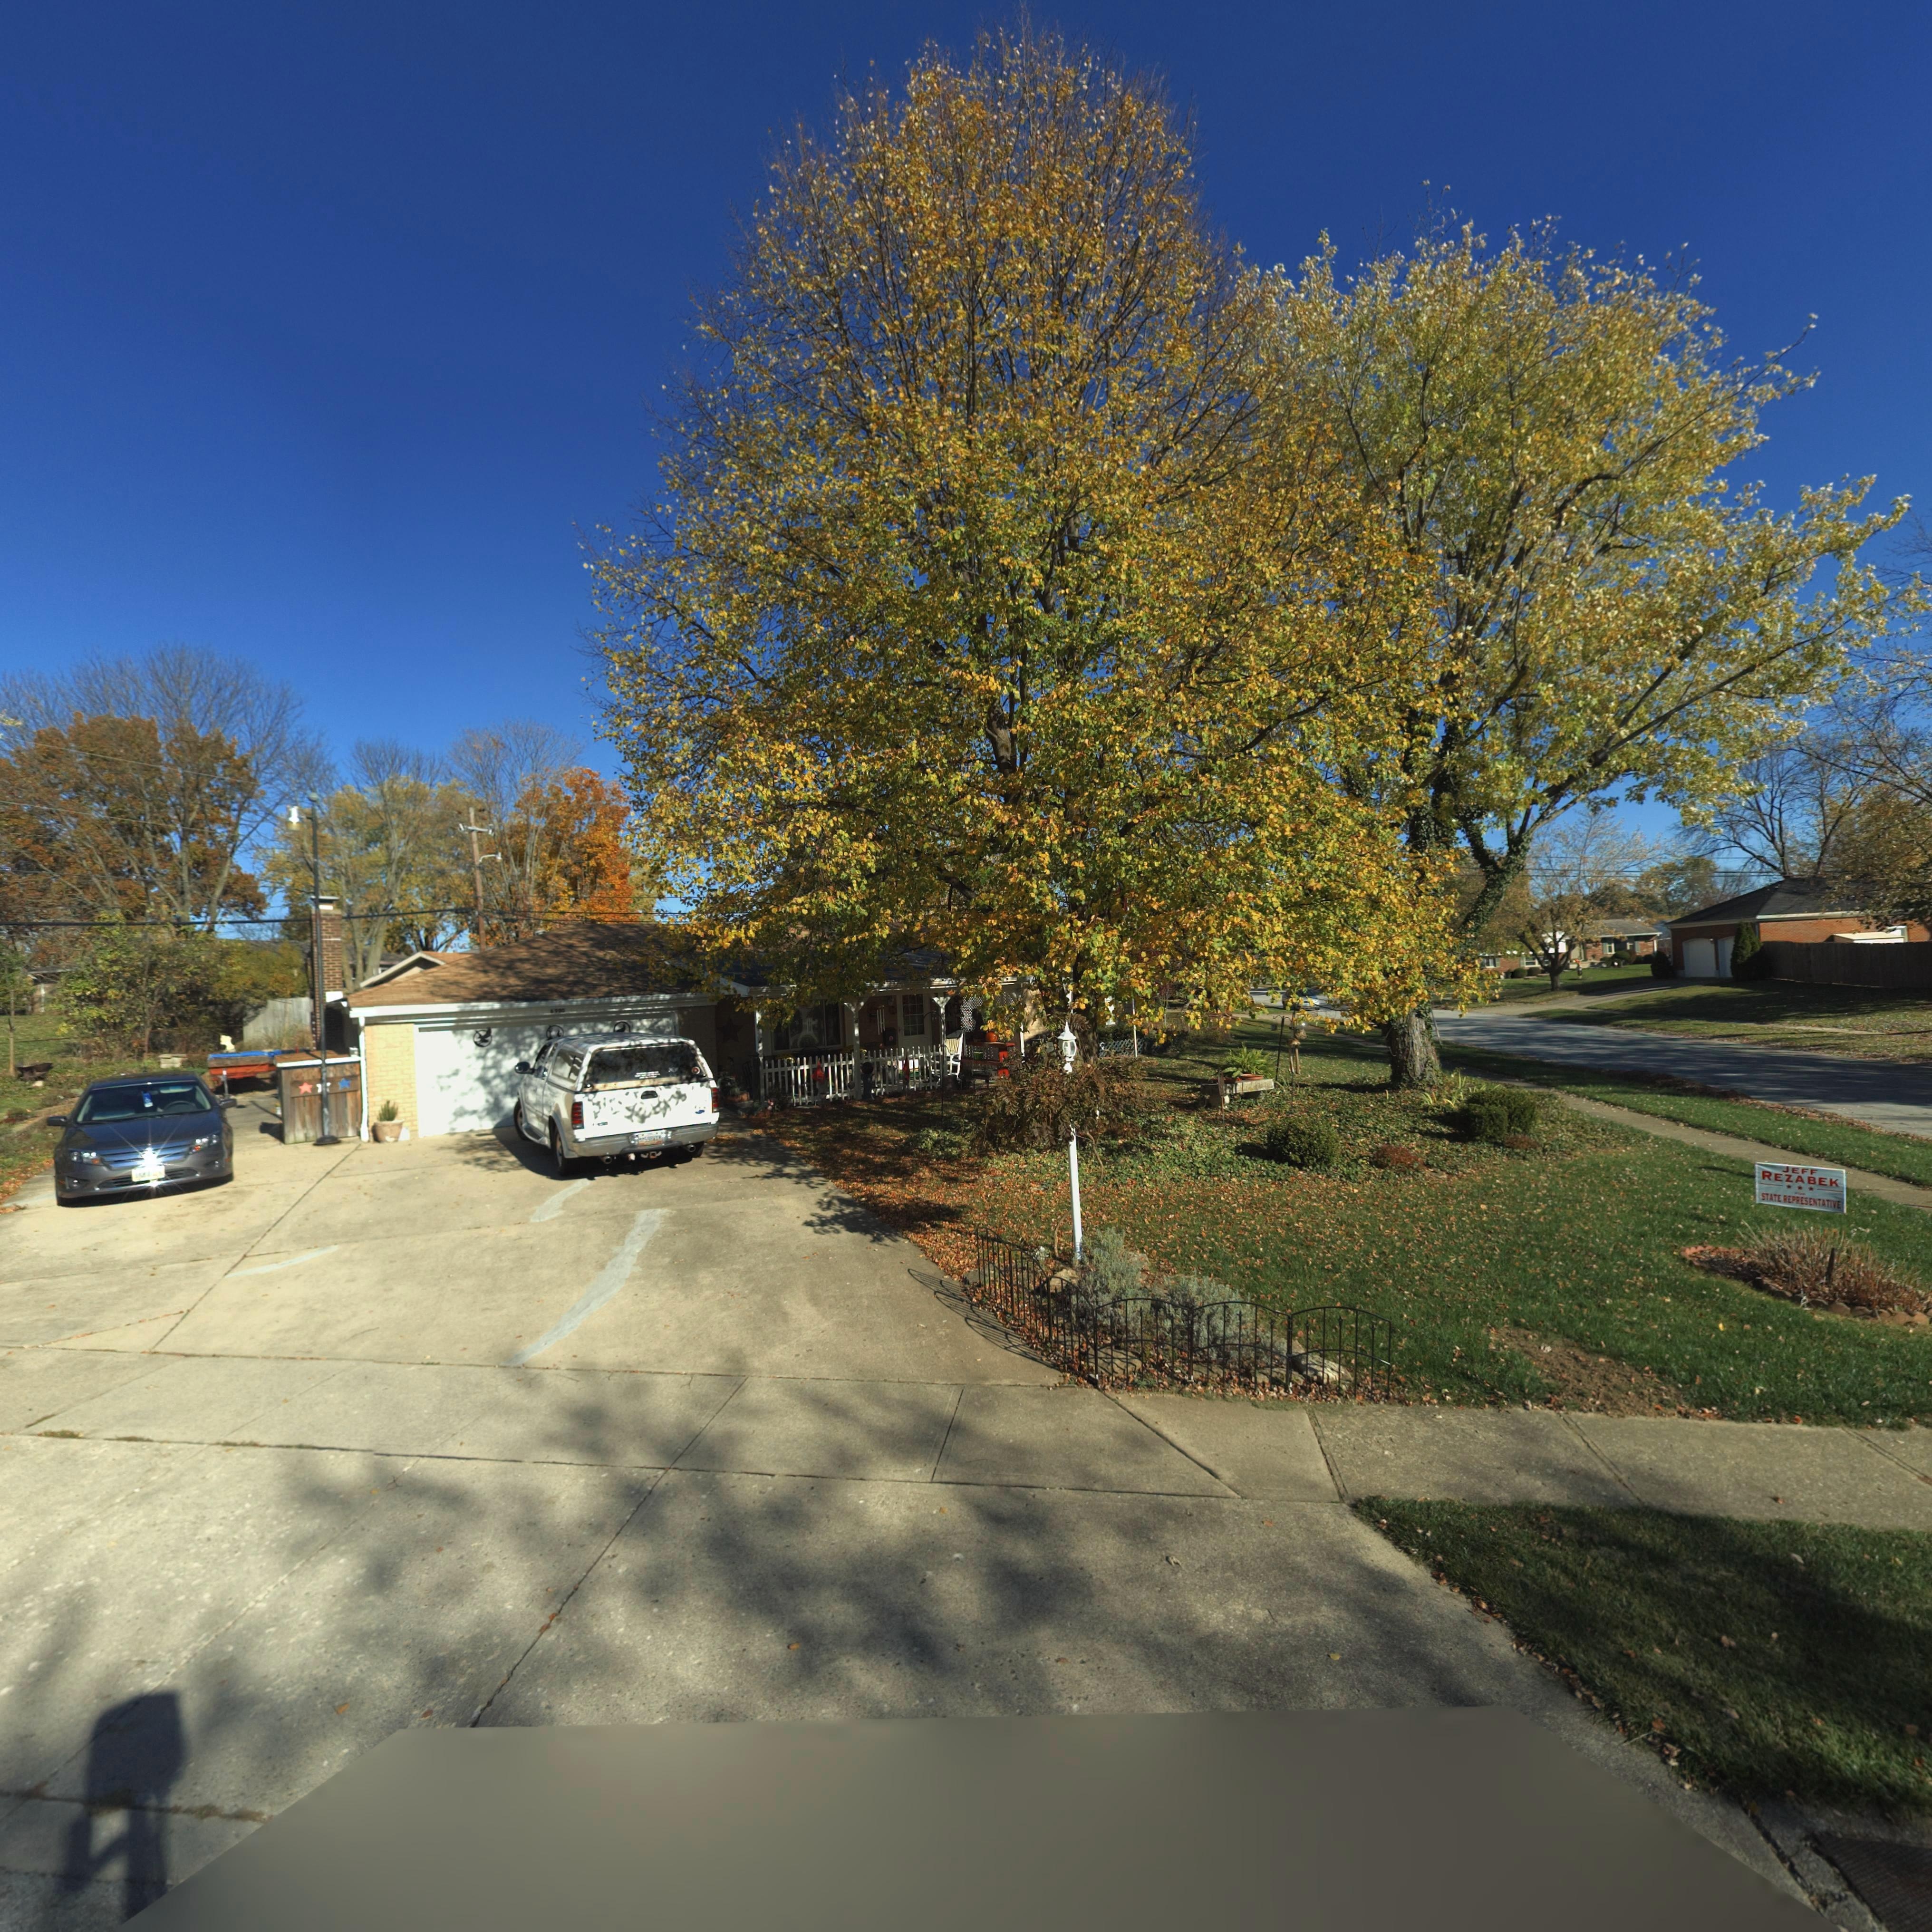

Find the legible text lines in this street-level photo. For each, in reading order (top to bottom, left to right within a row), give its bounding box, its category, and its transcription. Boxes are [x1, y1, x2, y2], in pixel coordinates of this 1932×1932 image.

[550, 1008, 566, 1014] StreetNumber: 6900
[1781, 1166, 1818, 1177] None: JEFF
[1761, 1170, 1840, 1188] None: REZABEK
[1761, 1192, 1842, 1210] None: STATE REPRESENTATIVE